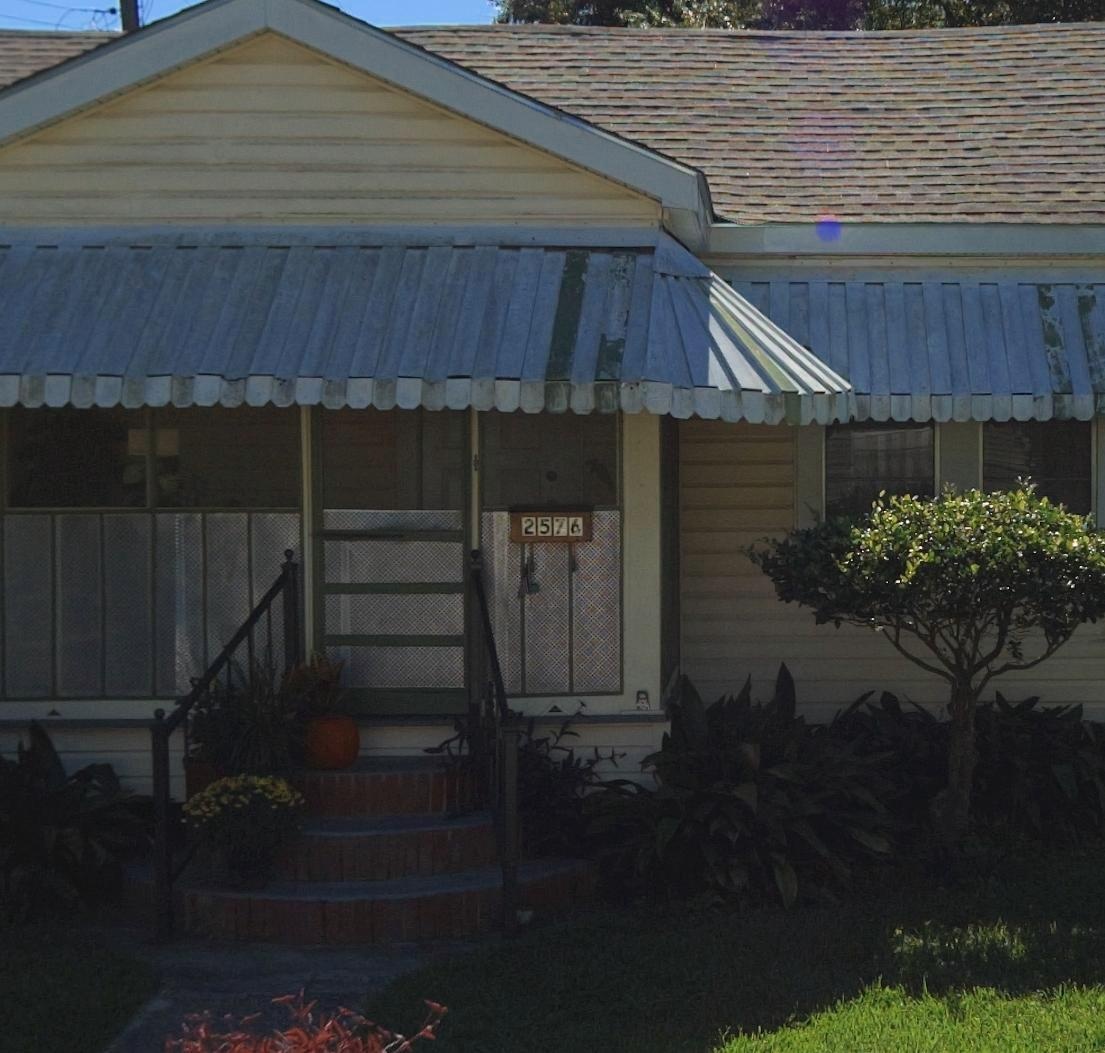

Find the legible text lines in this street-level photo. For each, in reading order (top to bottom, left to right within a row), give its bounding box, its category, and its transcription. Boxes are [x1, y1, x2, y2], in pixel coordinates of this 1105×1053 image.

[522, 516, 582, 537] StreetNumber: 257*